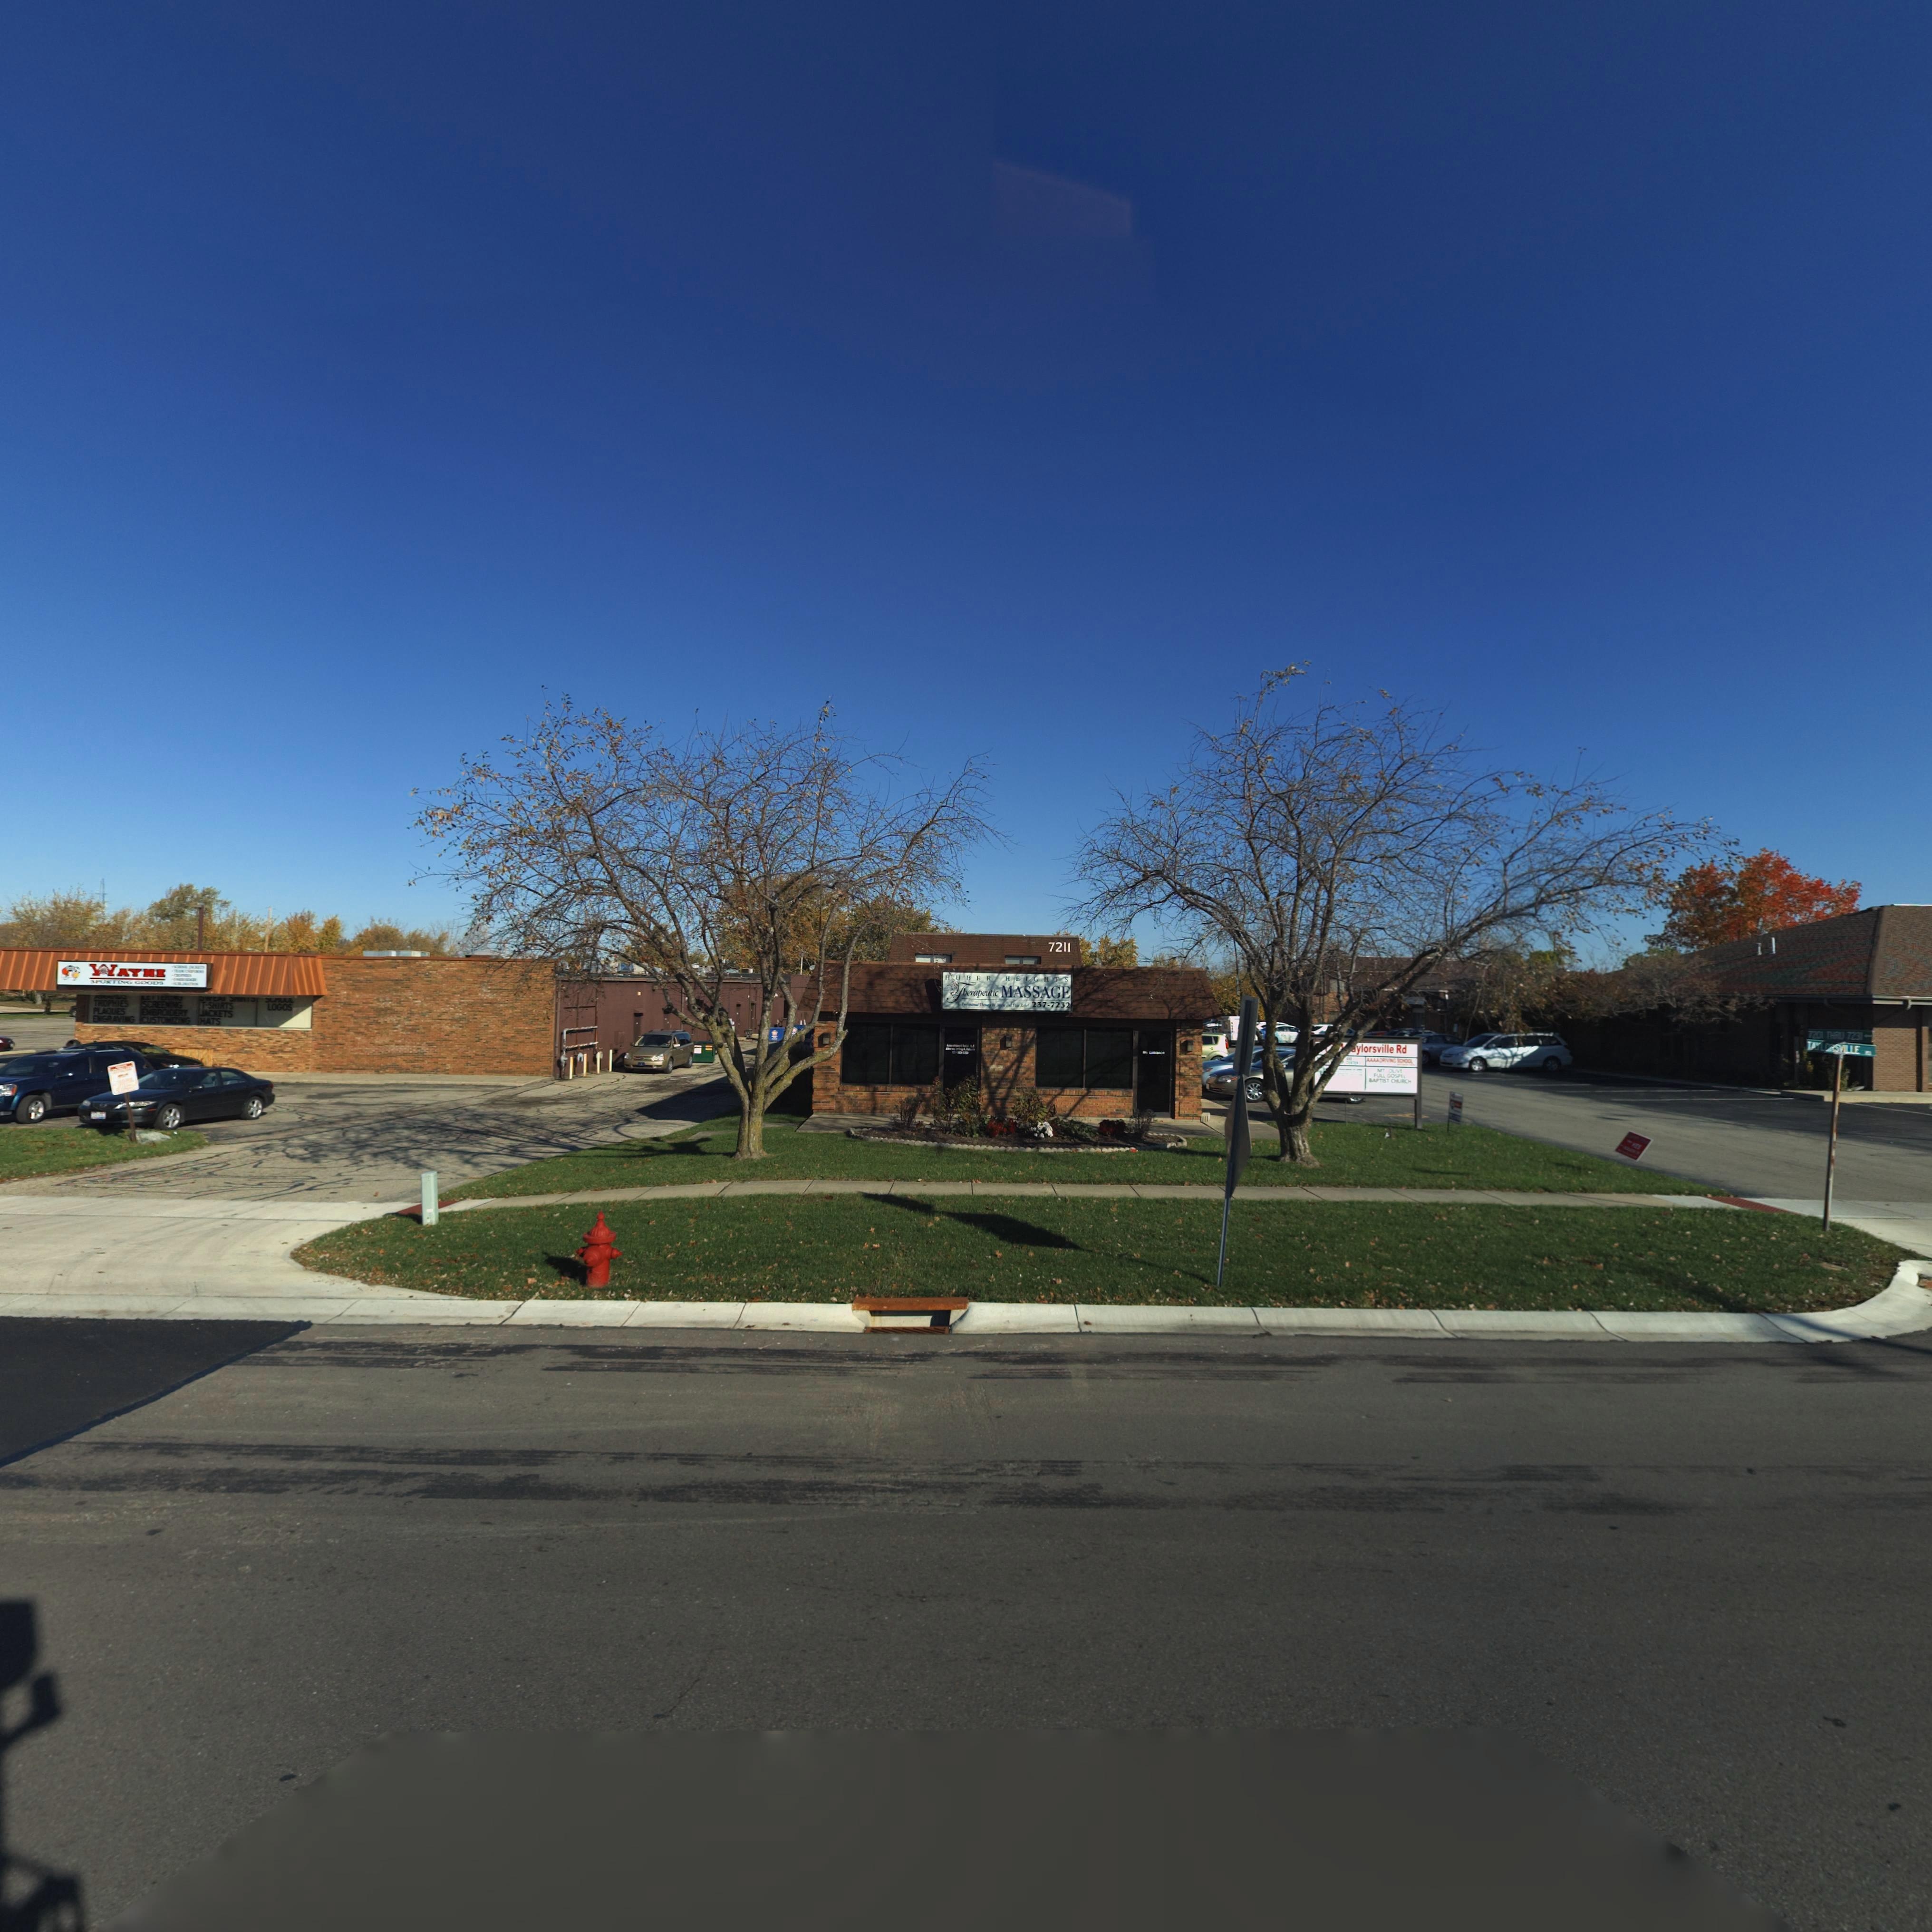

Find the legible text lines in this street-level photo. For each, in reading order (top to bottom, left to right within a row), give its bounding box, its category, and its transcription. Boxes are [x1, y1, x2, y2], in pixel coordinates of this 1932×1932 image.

[1047, 941, 1072, 954] StreetNumber: 7211
[88, 963, 166, 978] BusinessName: WAYNE
[90, 979, 164, 985] BusinessName: SPORTING GOODS
[945, 974, 1069, 983] BusinessName: HUBER HEIGHTS
[945, 982, 1071, 1004] BusinessName: Therapeutic MASSAGE
[1356, 1043, 1407, 1055] StreetName: ylorsville Rd
[1806, 1040, 1861, 1055] StreetName: TAYLORSVILLE
[1365, 1057, 1413, 1064] BusinessName: AAAA DRIVING SCHOOL
[1377, 1068, 1403, 1074] BusinessName: MT OLIVE
[1373, 1072, 1407, 1079] BusinessName: FULL GOSPEL
[1368, 1078, 1412, 1084] BusinessName: BAPTIST CHURCH